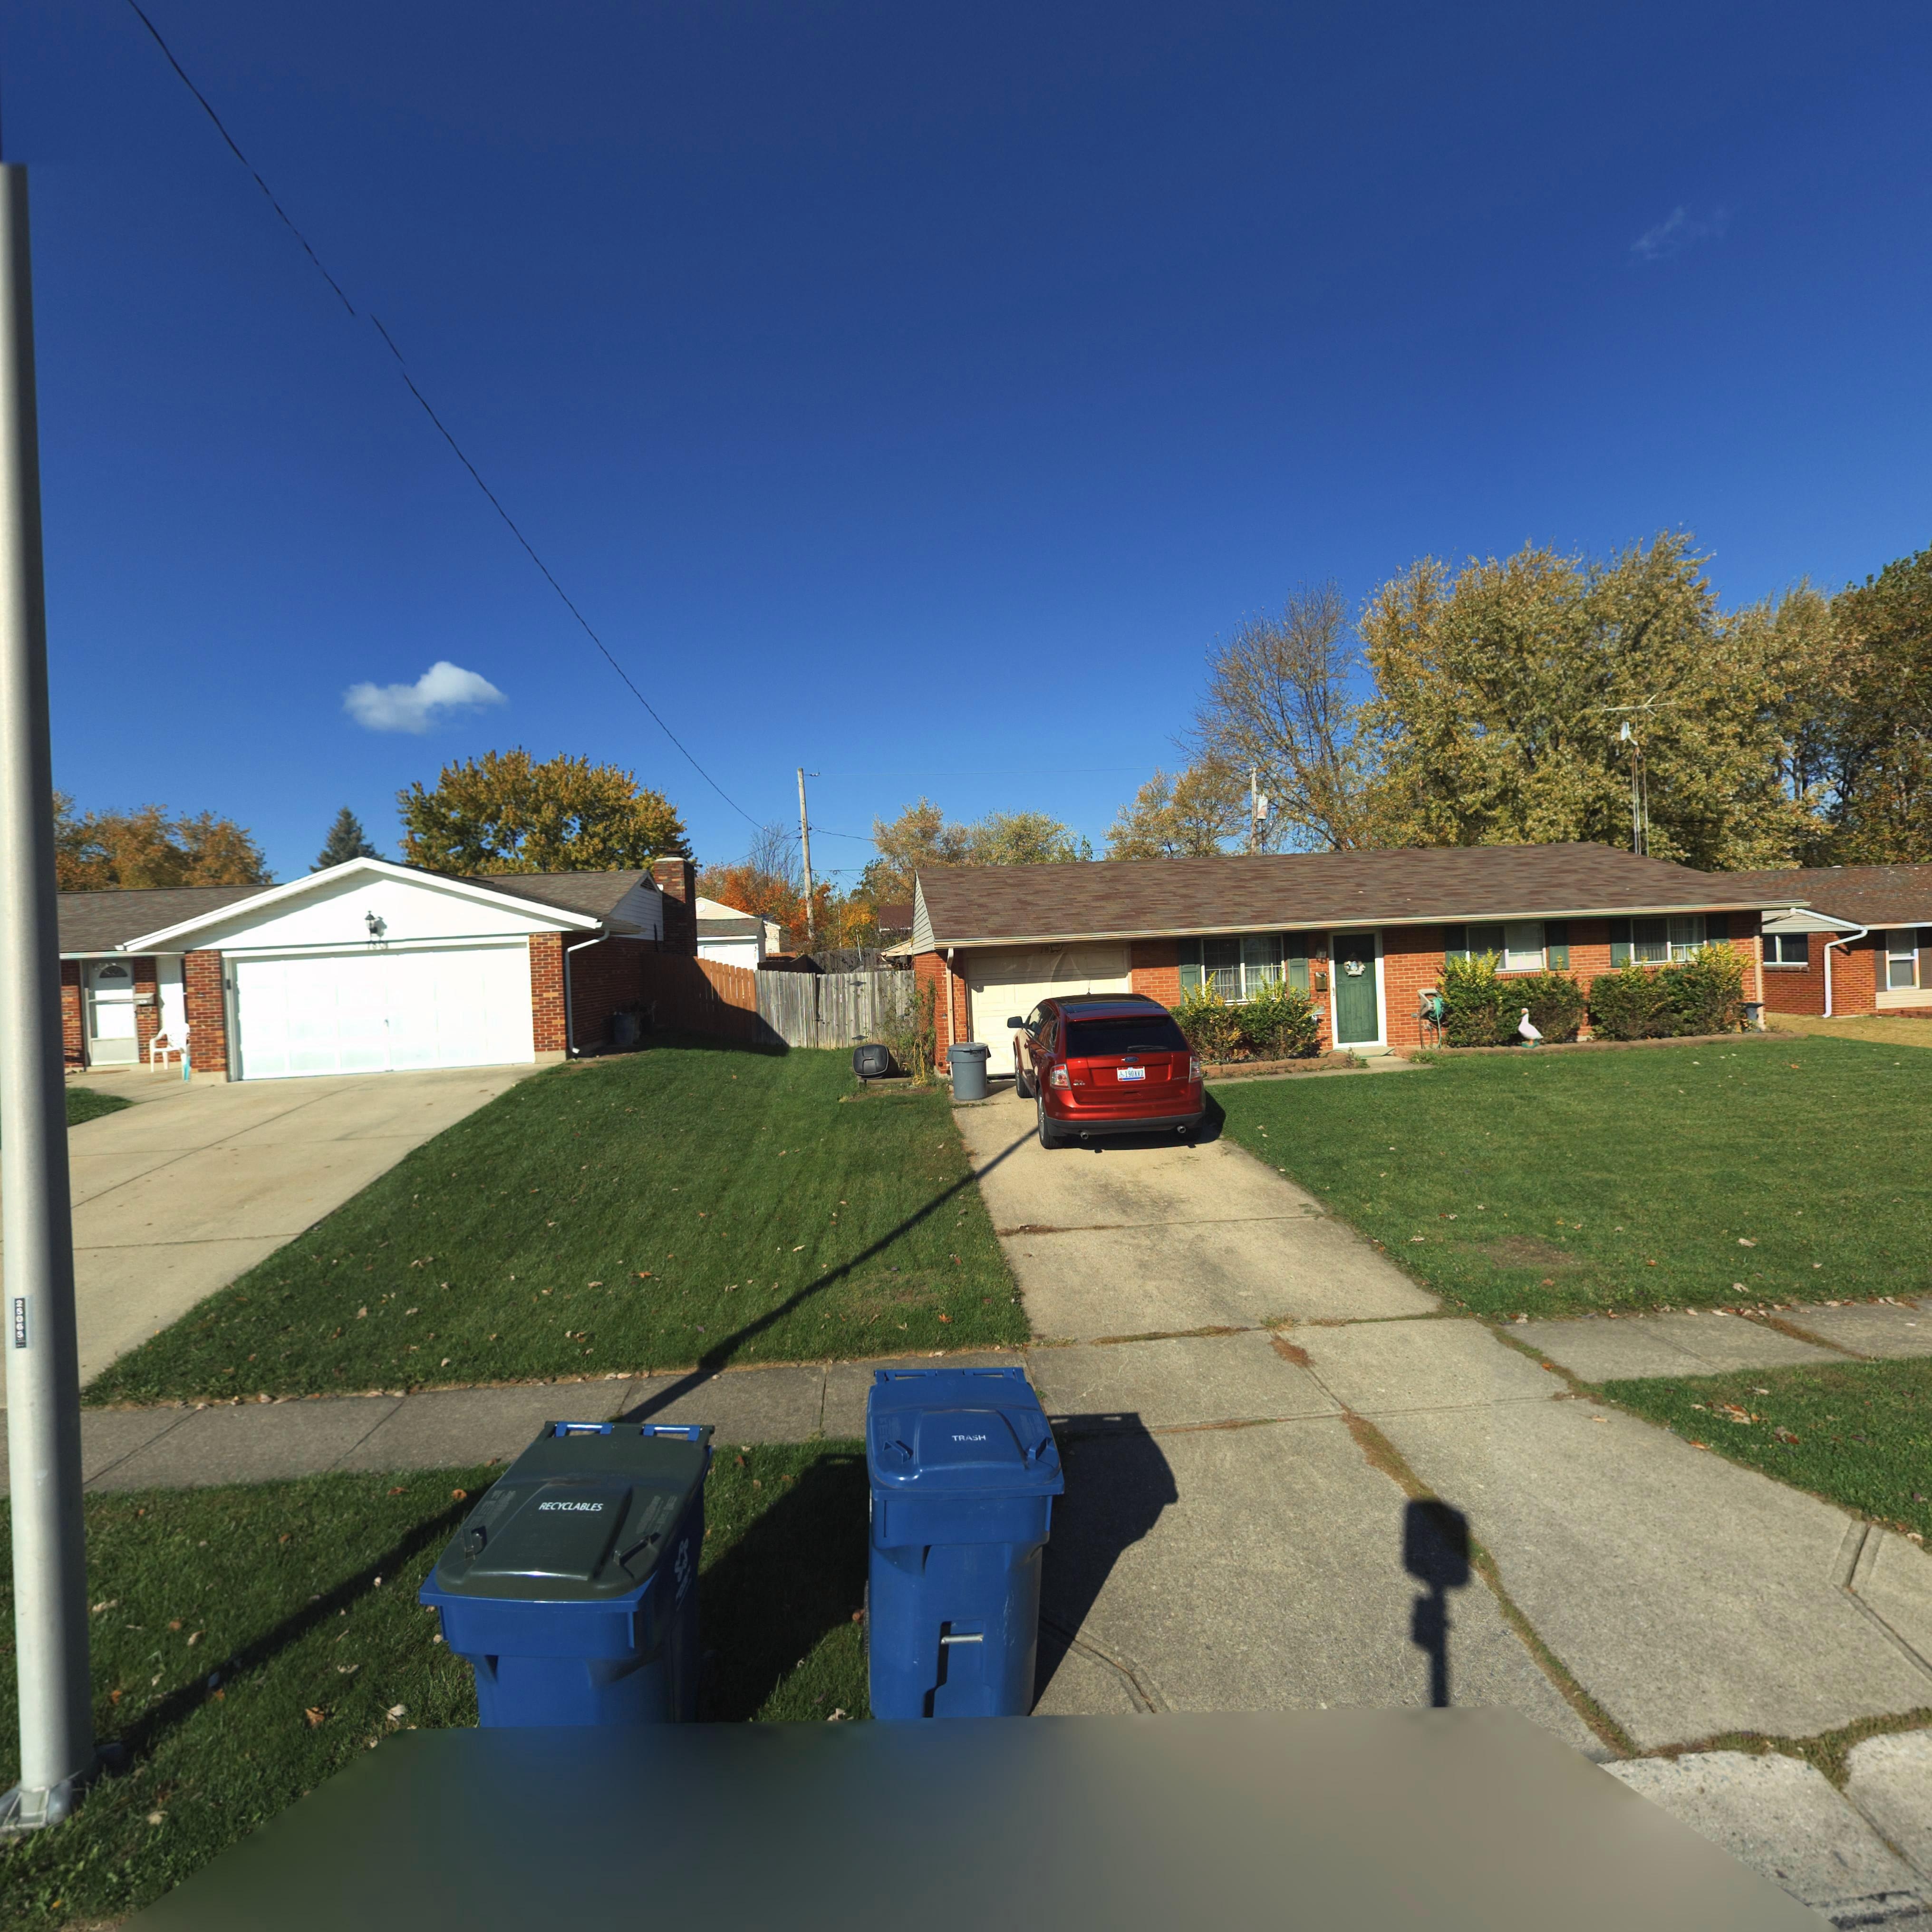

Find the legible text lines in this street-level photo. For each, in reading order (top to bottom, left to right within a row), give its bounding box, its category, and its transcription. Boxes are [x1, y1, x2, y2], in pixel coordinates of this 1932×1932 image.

[364, 939, 389, 952] StreetNumber: 780*
[1038, 946, 1050, 955] StreetNumber: 78